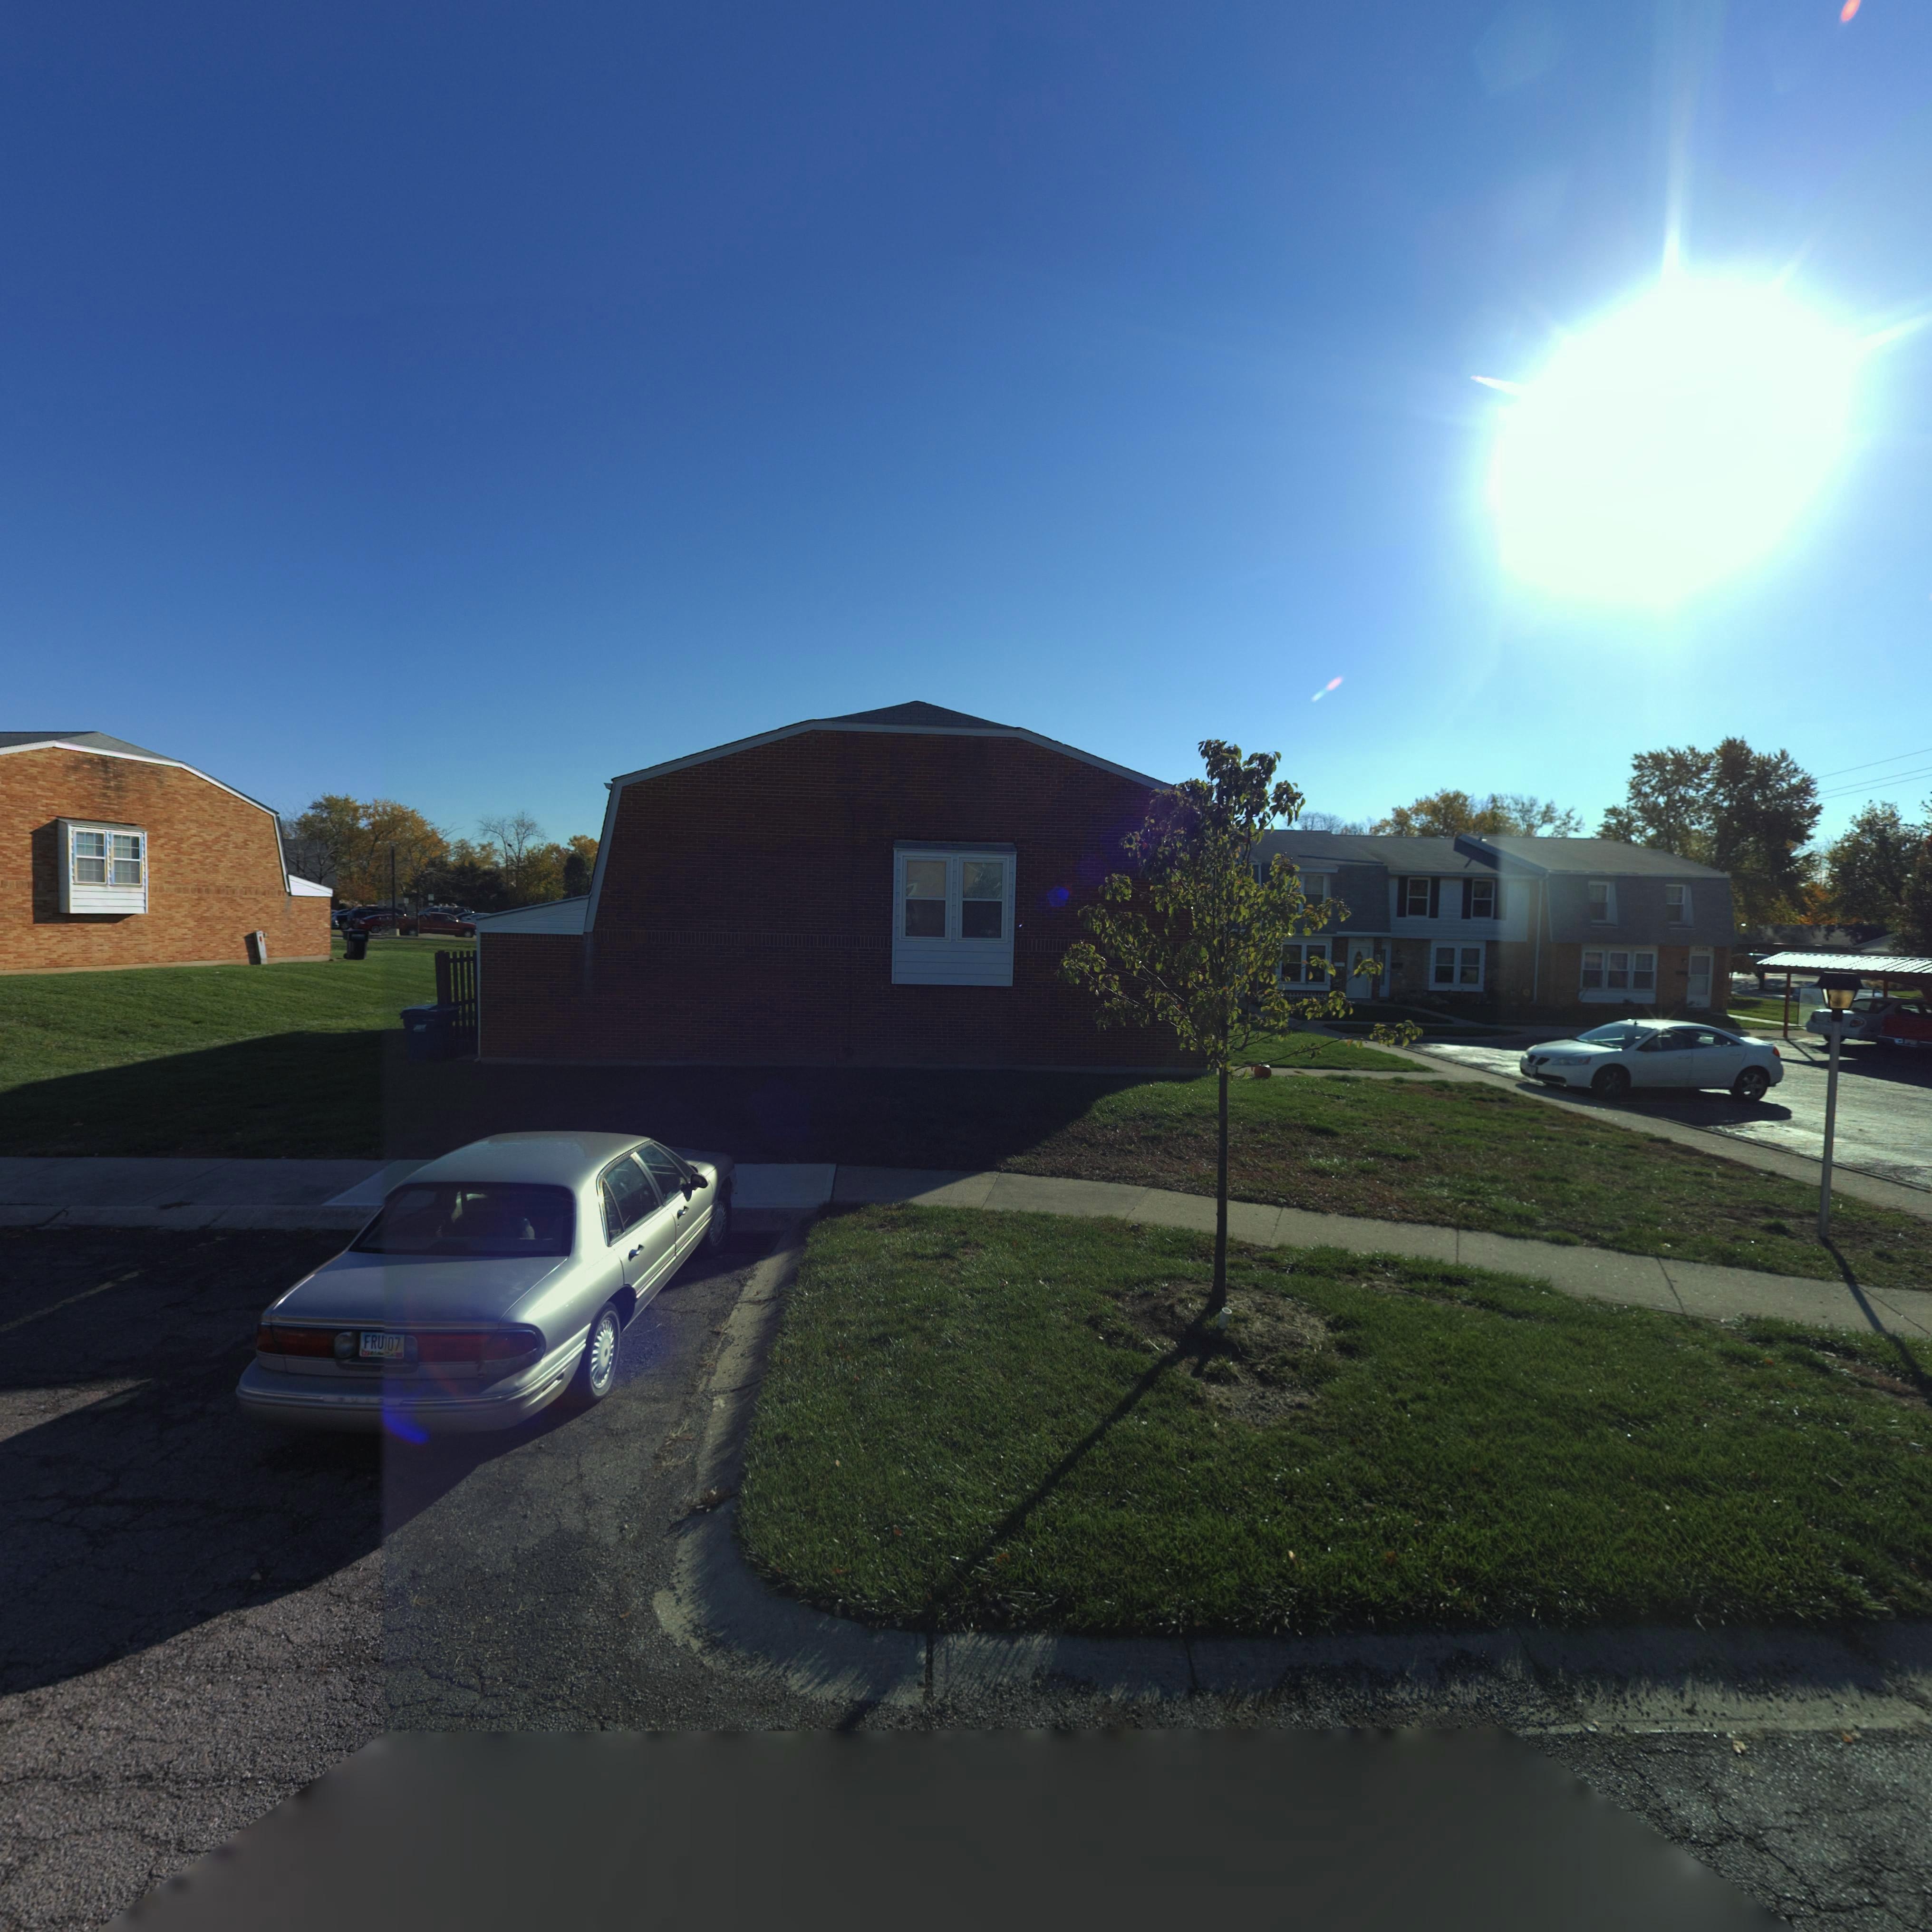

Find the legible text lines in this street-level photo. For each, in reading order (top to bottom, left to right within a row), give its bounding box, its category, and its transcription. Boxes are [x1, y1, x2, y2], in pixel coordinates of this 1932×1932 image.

[1694, 946, 1709, 951] StreetNumber: *5**